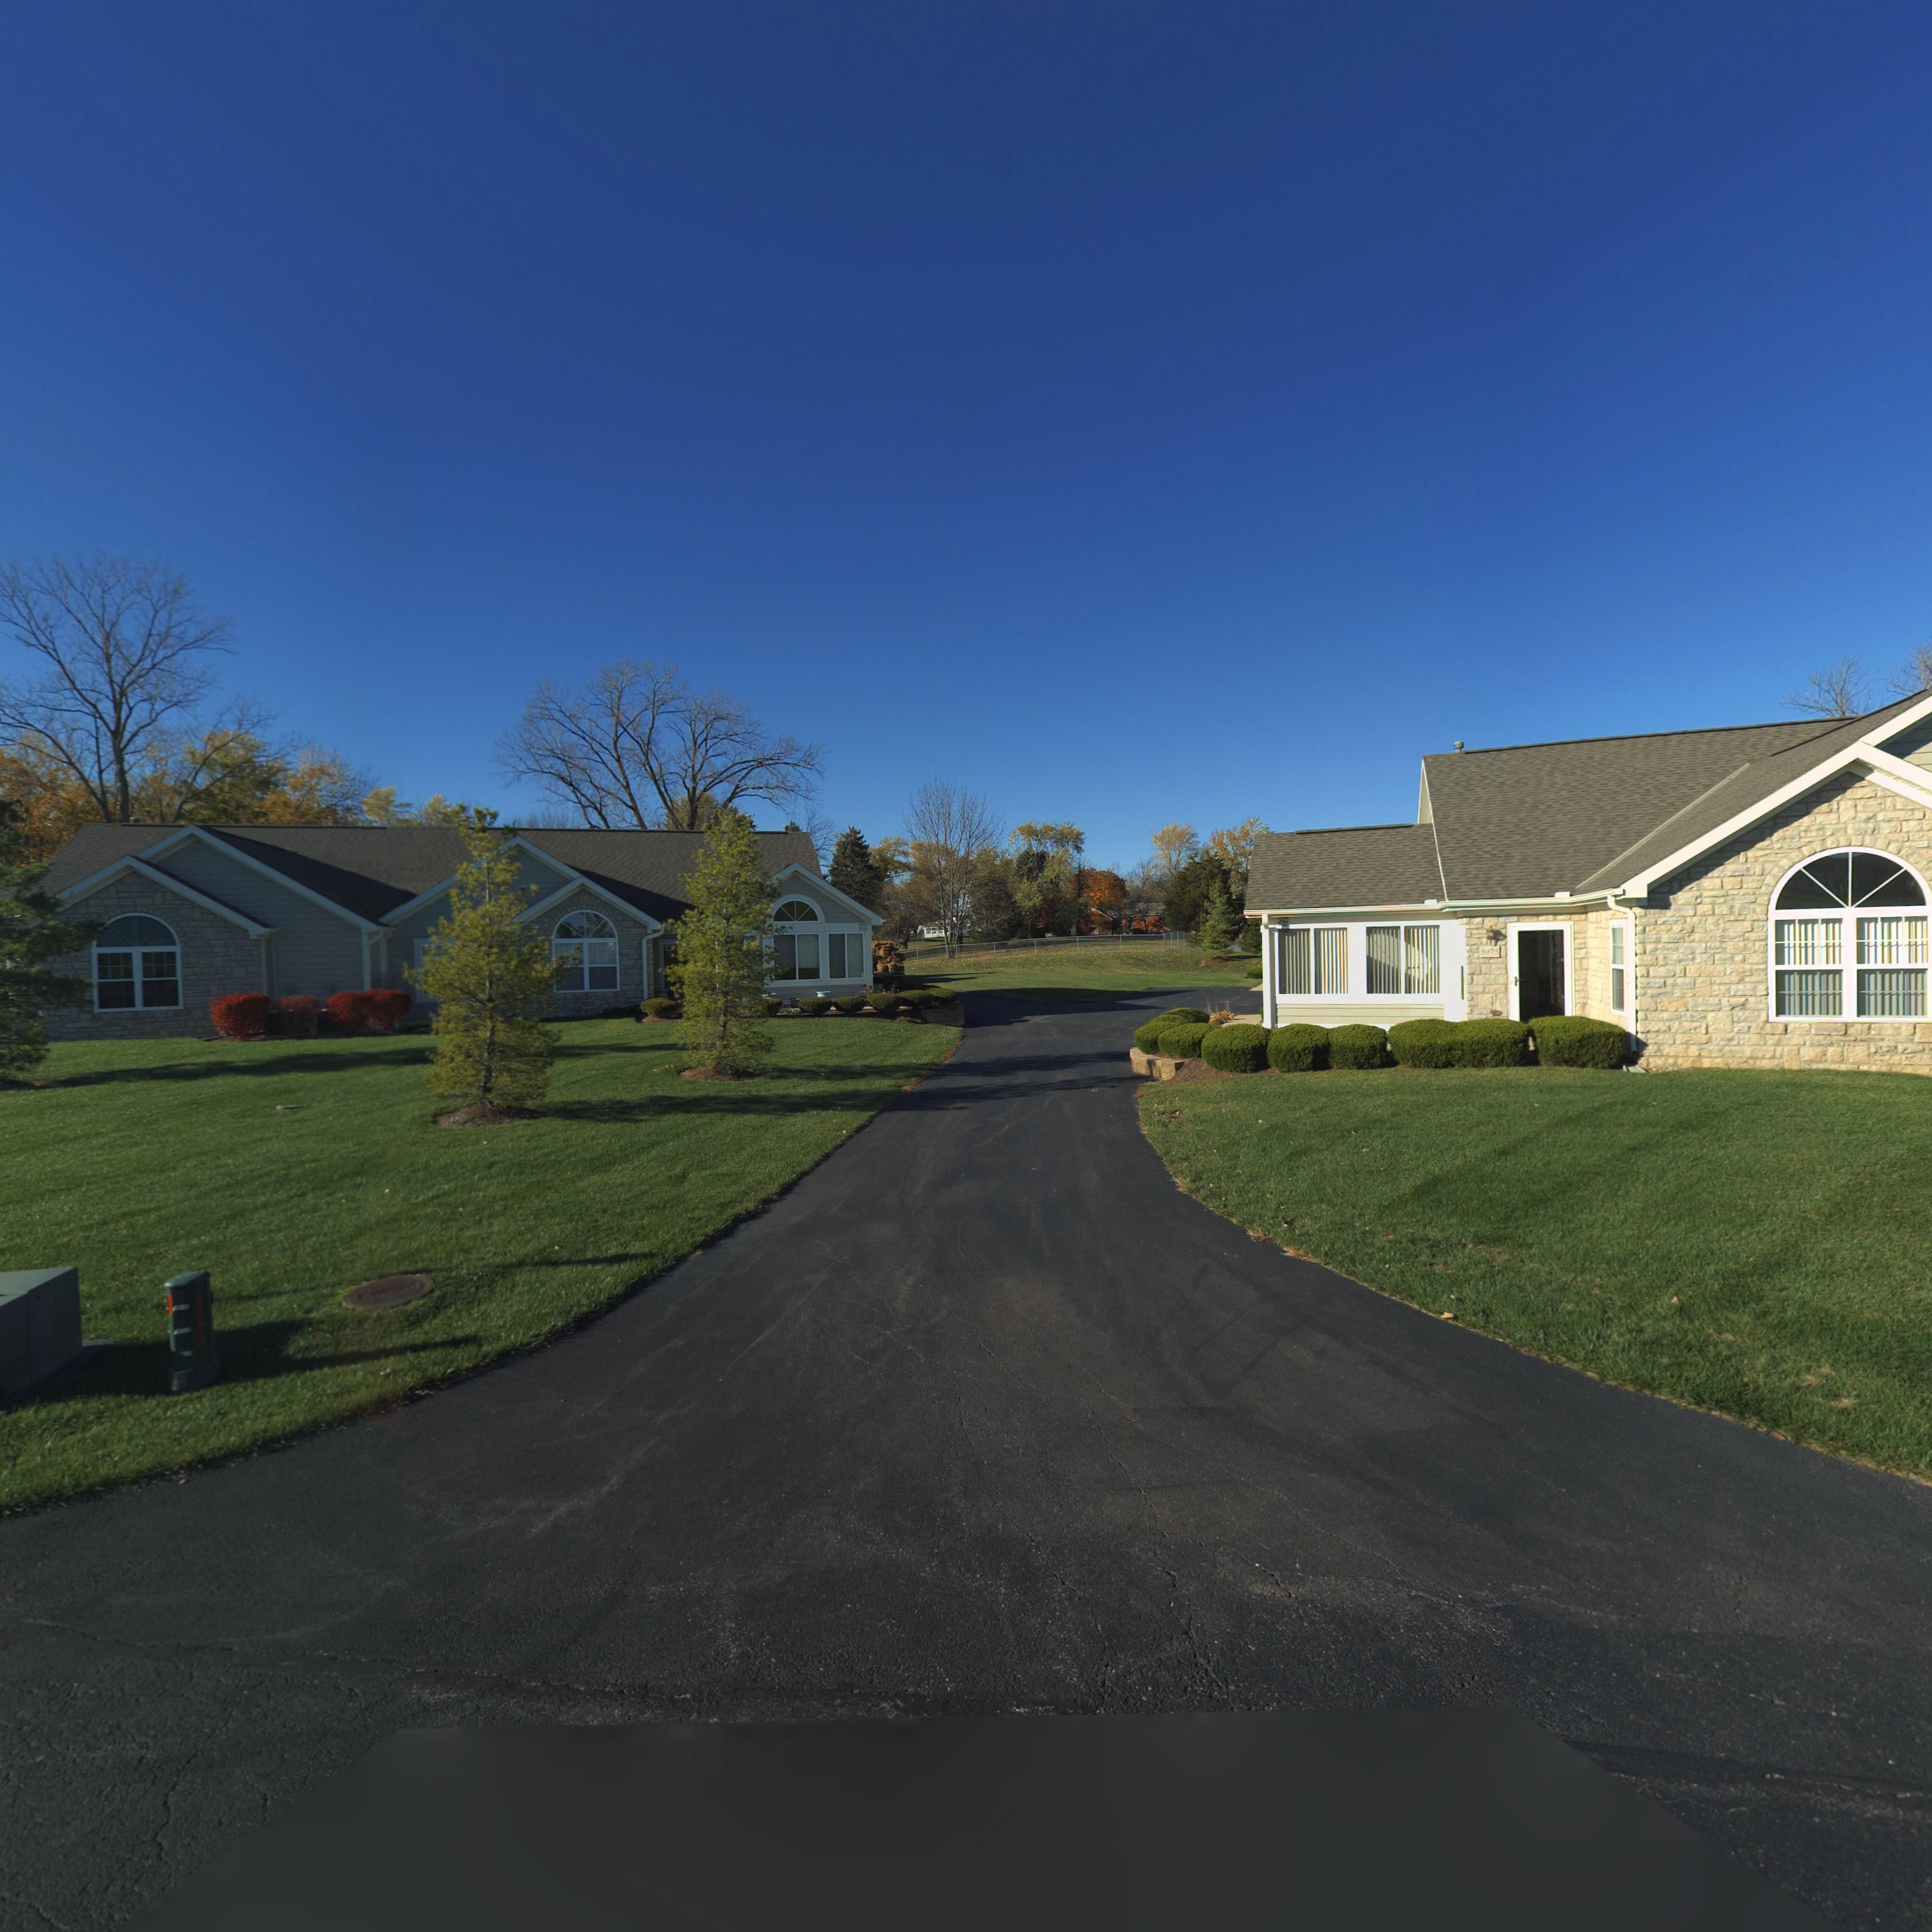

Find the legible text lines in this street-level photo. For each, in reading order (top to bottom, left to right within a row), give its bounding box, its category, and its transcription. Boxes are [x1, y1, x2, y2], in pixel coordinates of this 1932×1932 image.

[1480, 947, 1500, 956] StreetNumber: 5075